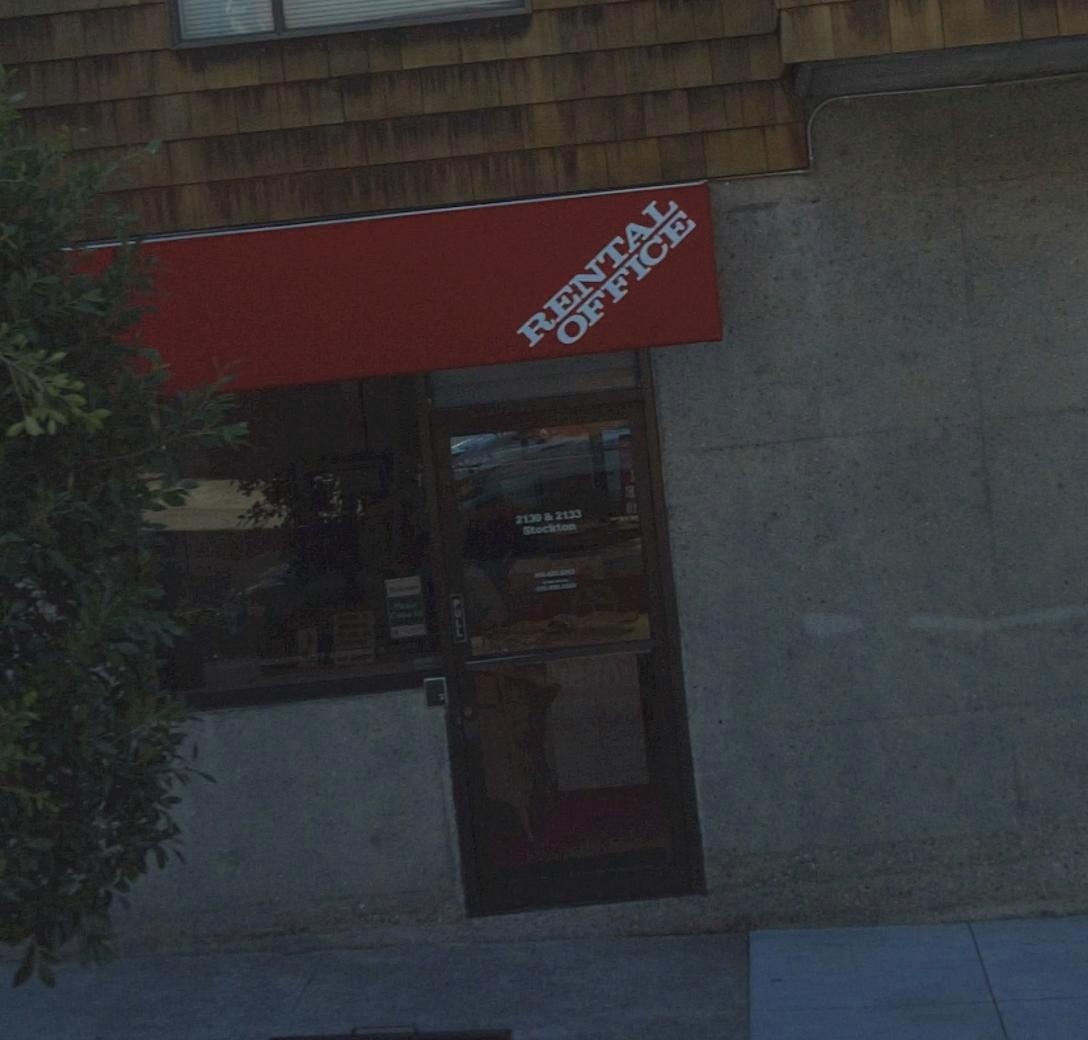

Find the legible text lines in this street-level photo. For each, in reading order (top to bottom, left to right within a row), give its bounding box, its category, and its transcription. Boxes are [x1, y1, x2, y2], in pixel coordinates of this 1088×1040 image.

[513, 198, 682, 350] BusinessName: RENTAL
[555, 208, 698, 346] BusinessName: OFFICE
[513, 512, 543, 526] StreetNumber: 2130
[521, 522, 579, 536] StreetName: Stockton
[553, 508, 584, 521] StreetNumber: 2133
[451, 598, 464, 639] None: PULL